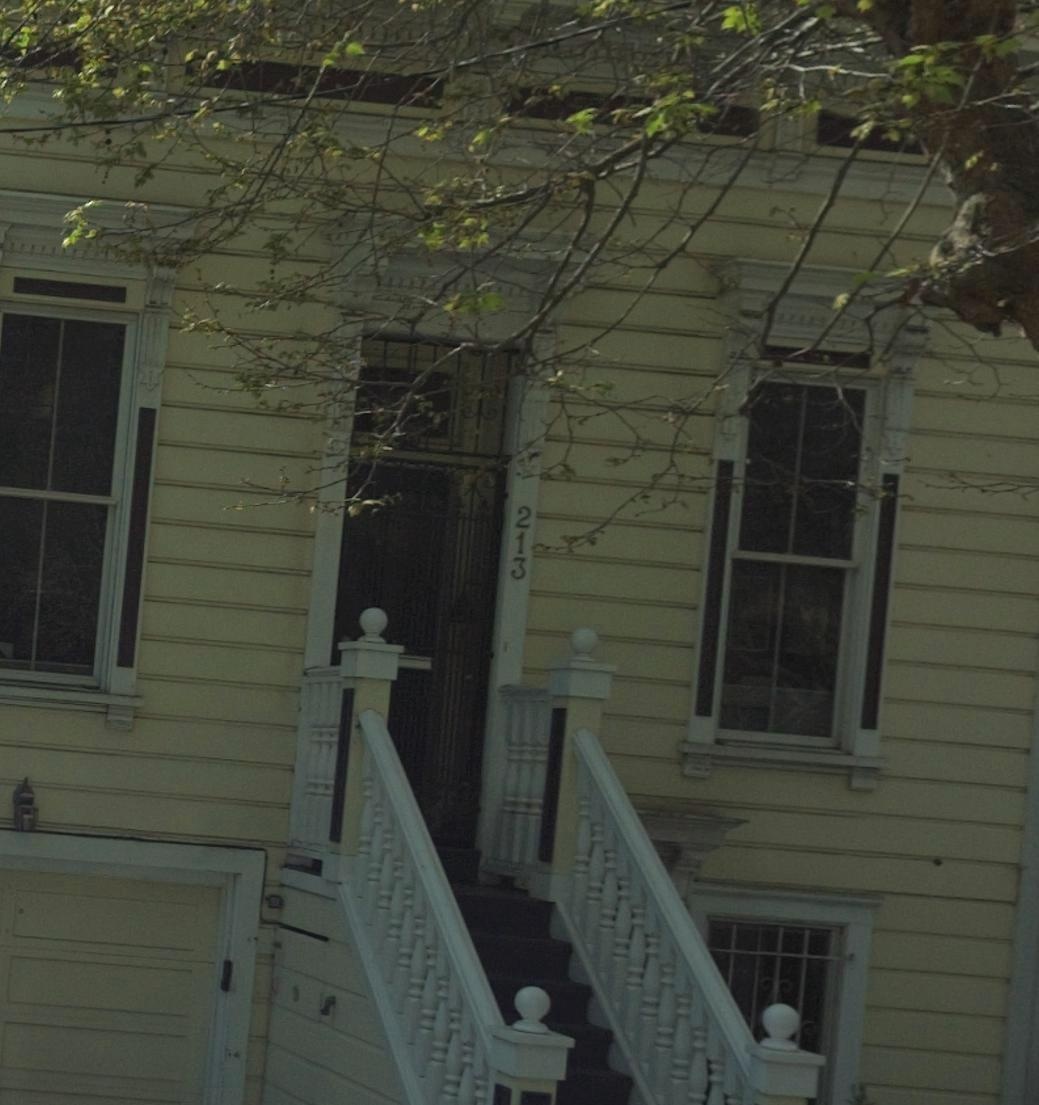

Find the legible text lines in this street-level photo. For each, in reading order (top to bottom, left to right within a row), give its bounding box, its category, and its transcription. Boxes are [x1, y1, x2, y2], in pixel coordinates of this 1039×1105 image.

[507, 505, 533, 582] StreetNumber: 213